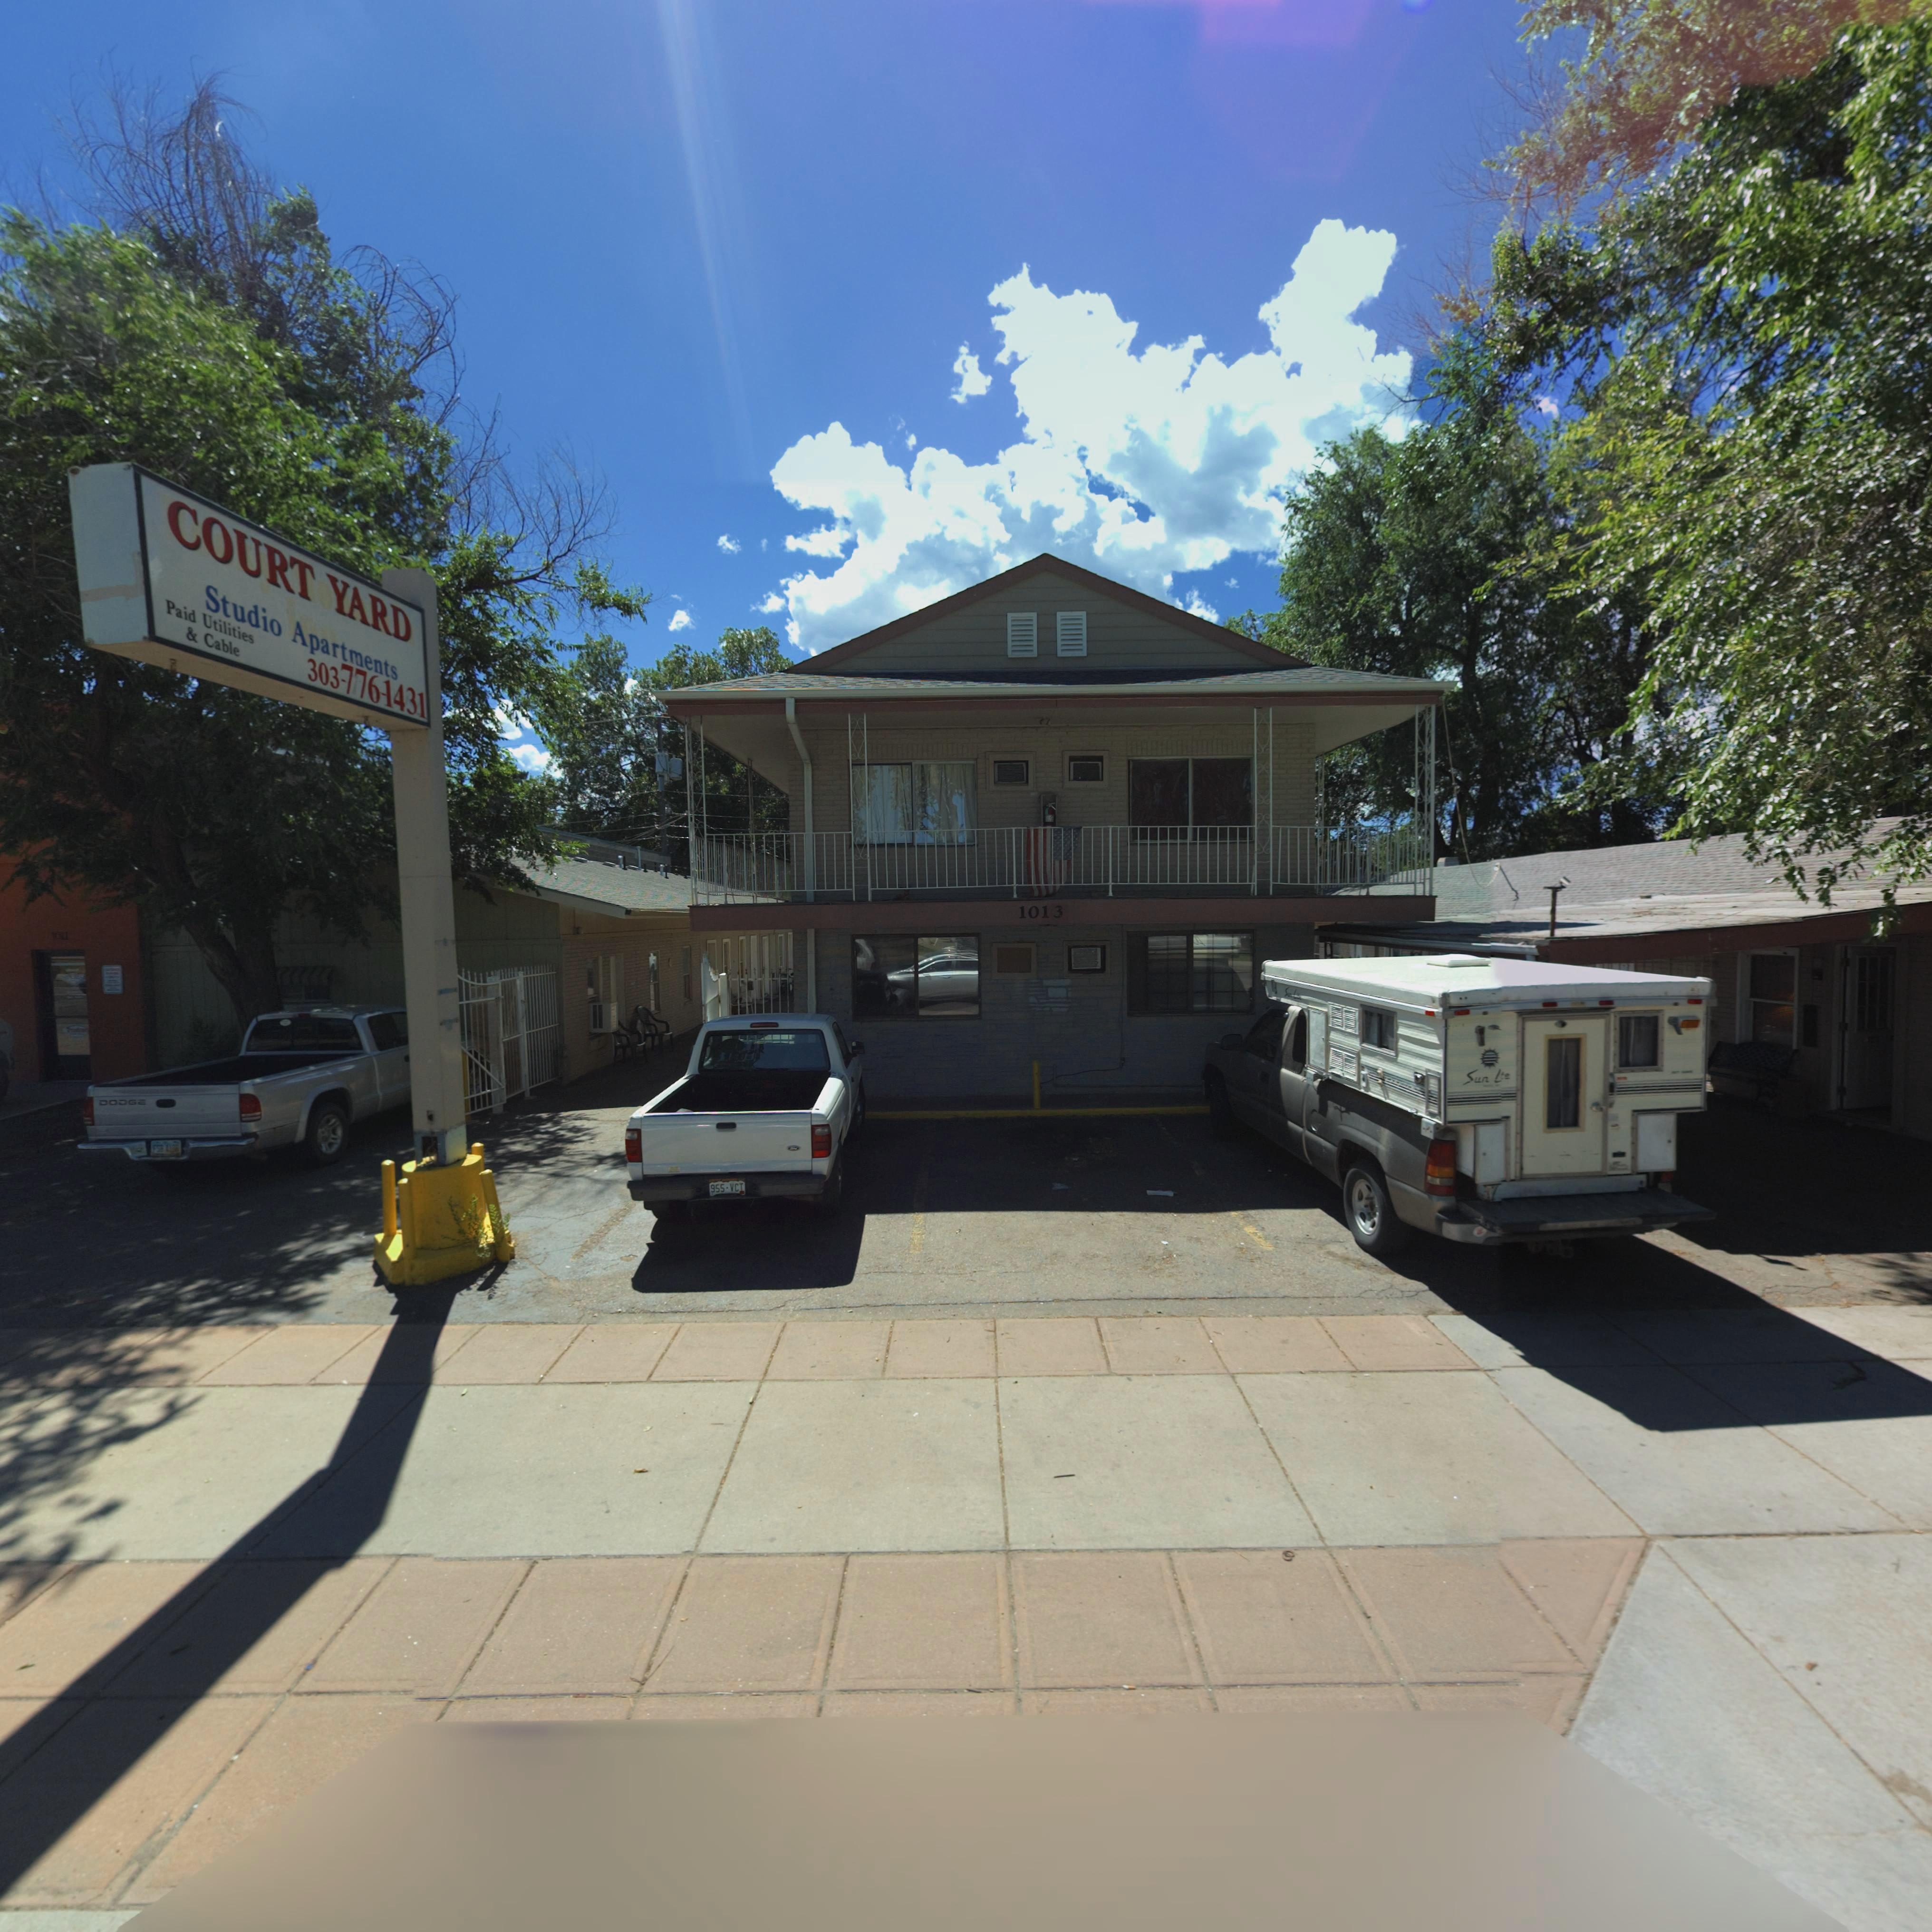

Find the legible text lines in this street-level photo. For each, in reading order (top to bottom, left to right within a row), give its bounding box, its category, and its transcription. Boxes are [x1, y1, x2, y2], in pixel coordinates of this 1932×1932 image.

[166, 500, 412, 643] BusinessName: COURT YARD
[204, 584, 398, 681] BusinessName: Studio Apartments
[1018, 904, 1063, 919] StreetNumber: 1013